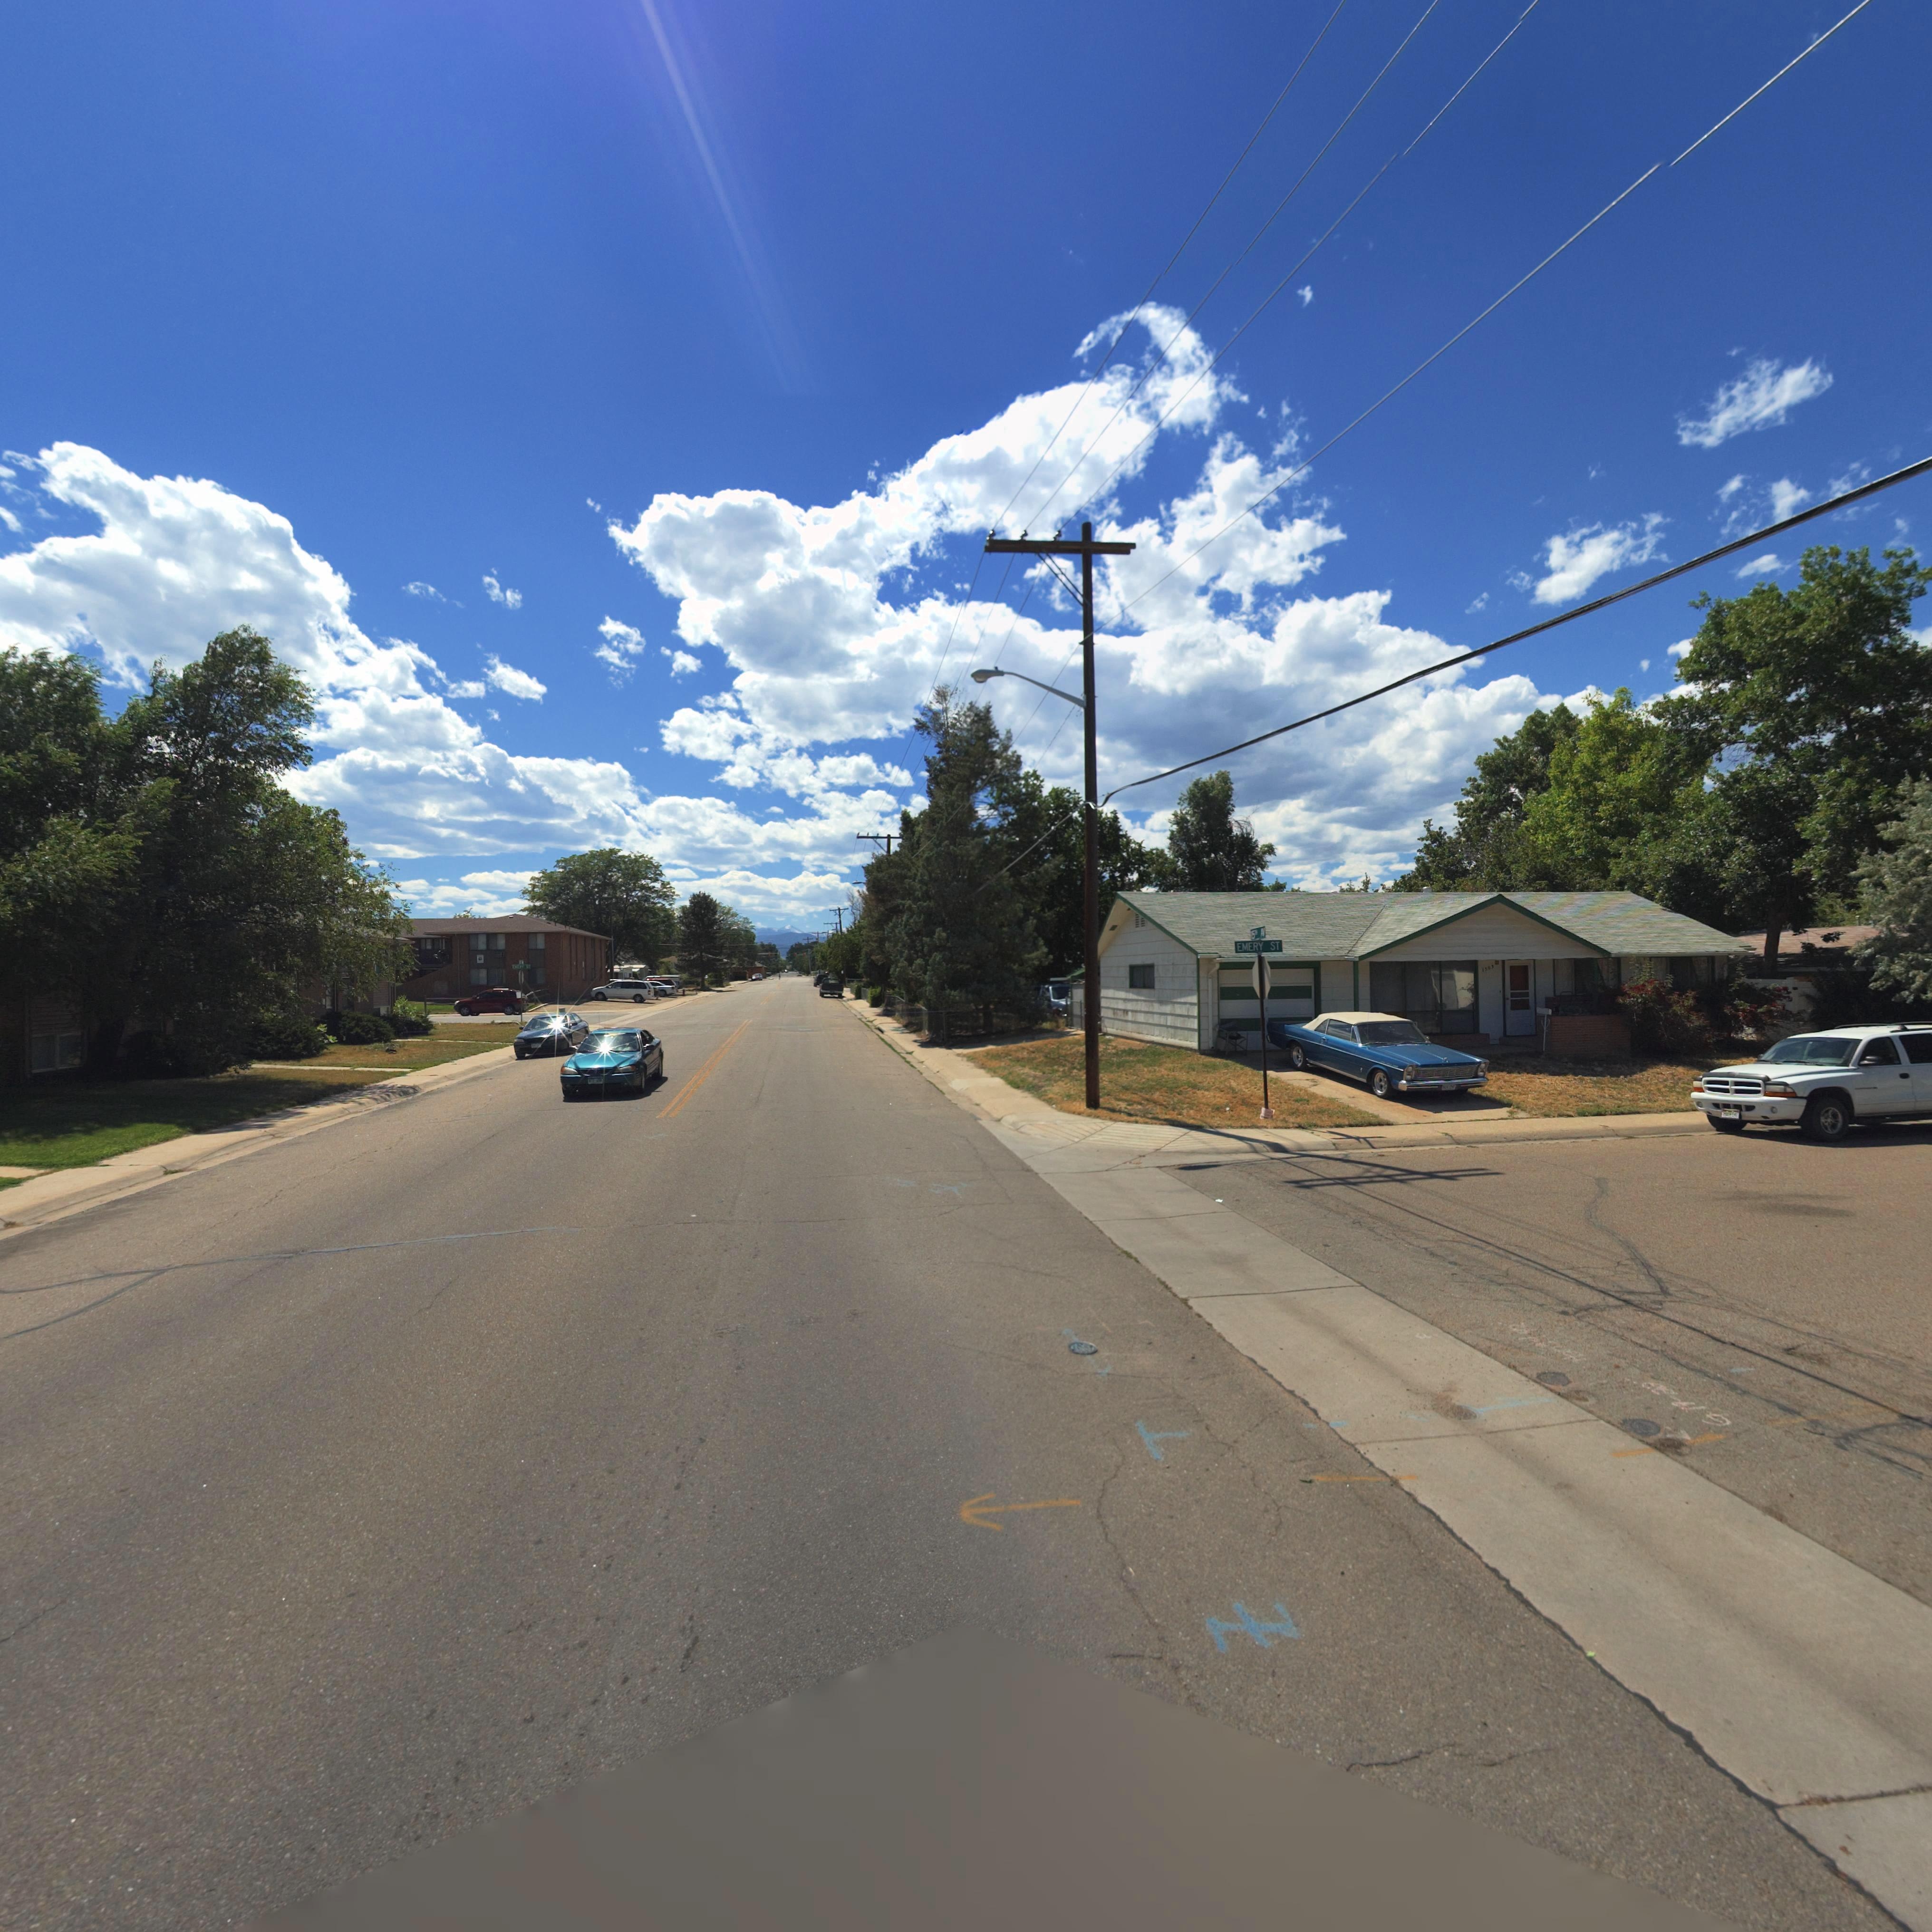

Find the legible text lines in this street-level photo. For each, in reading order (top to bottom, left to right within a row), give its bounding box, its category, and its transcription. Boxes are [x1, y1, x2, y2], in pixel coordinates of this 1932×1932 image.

[1250, 927, 1265, 939] StreetName: 15** AV
[1236, 941, 1280, 952] StreetName: EMERY ST
[1482, 964, 1494, 972] StreetNumber: 150*